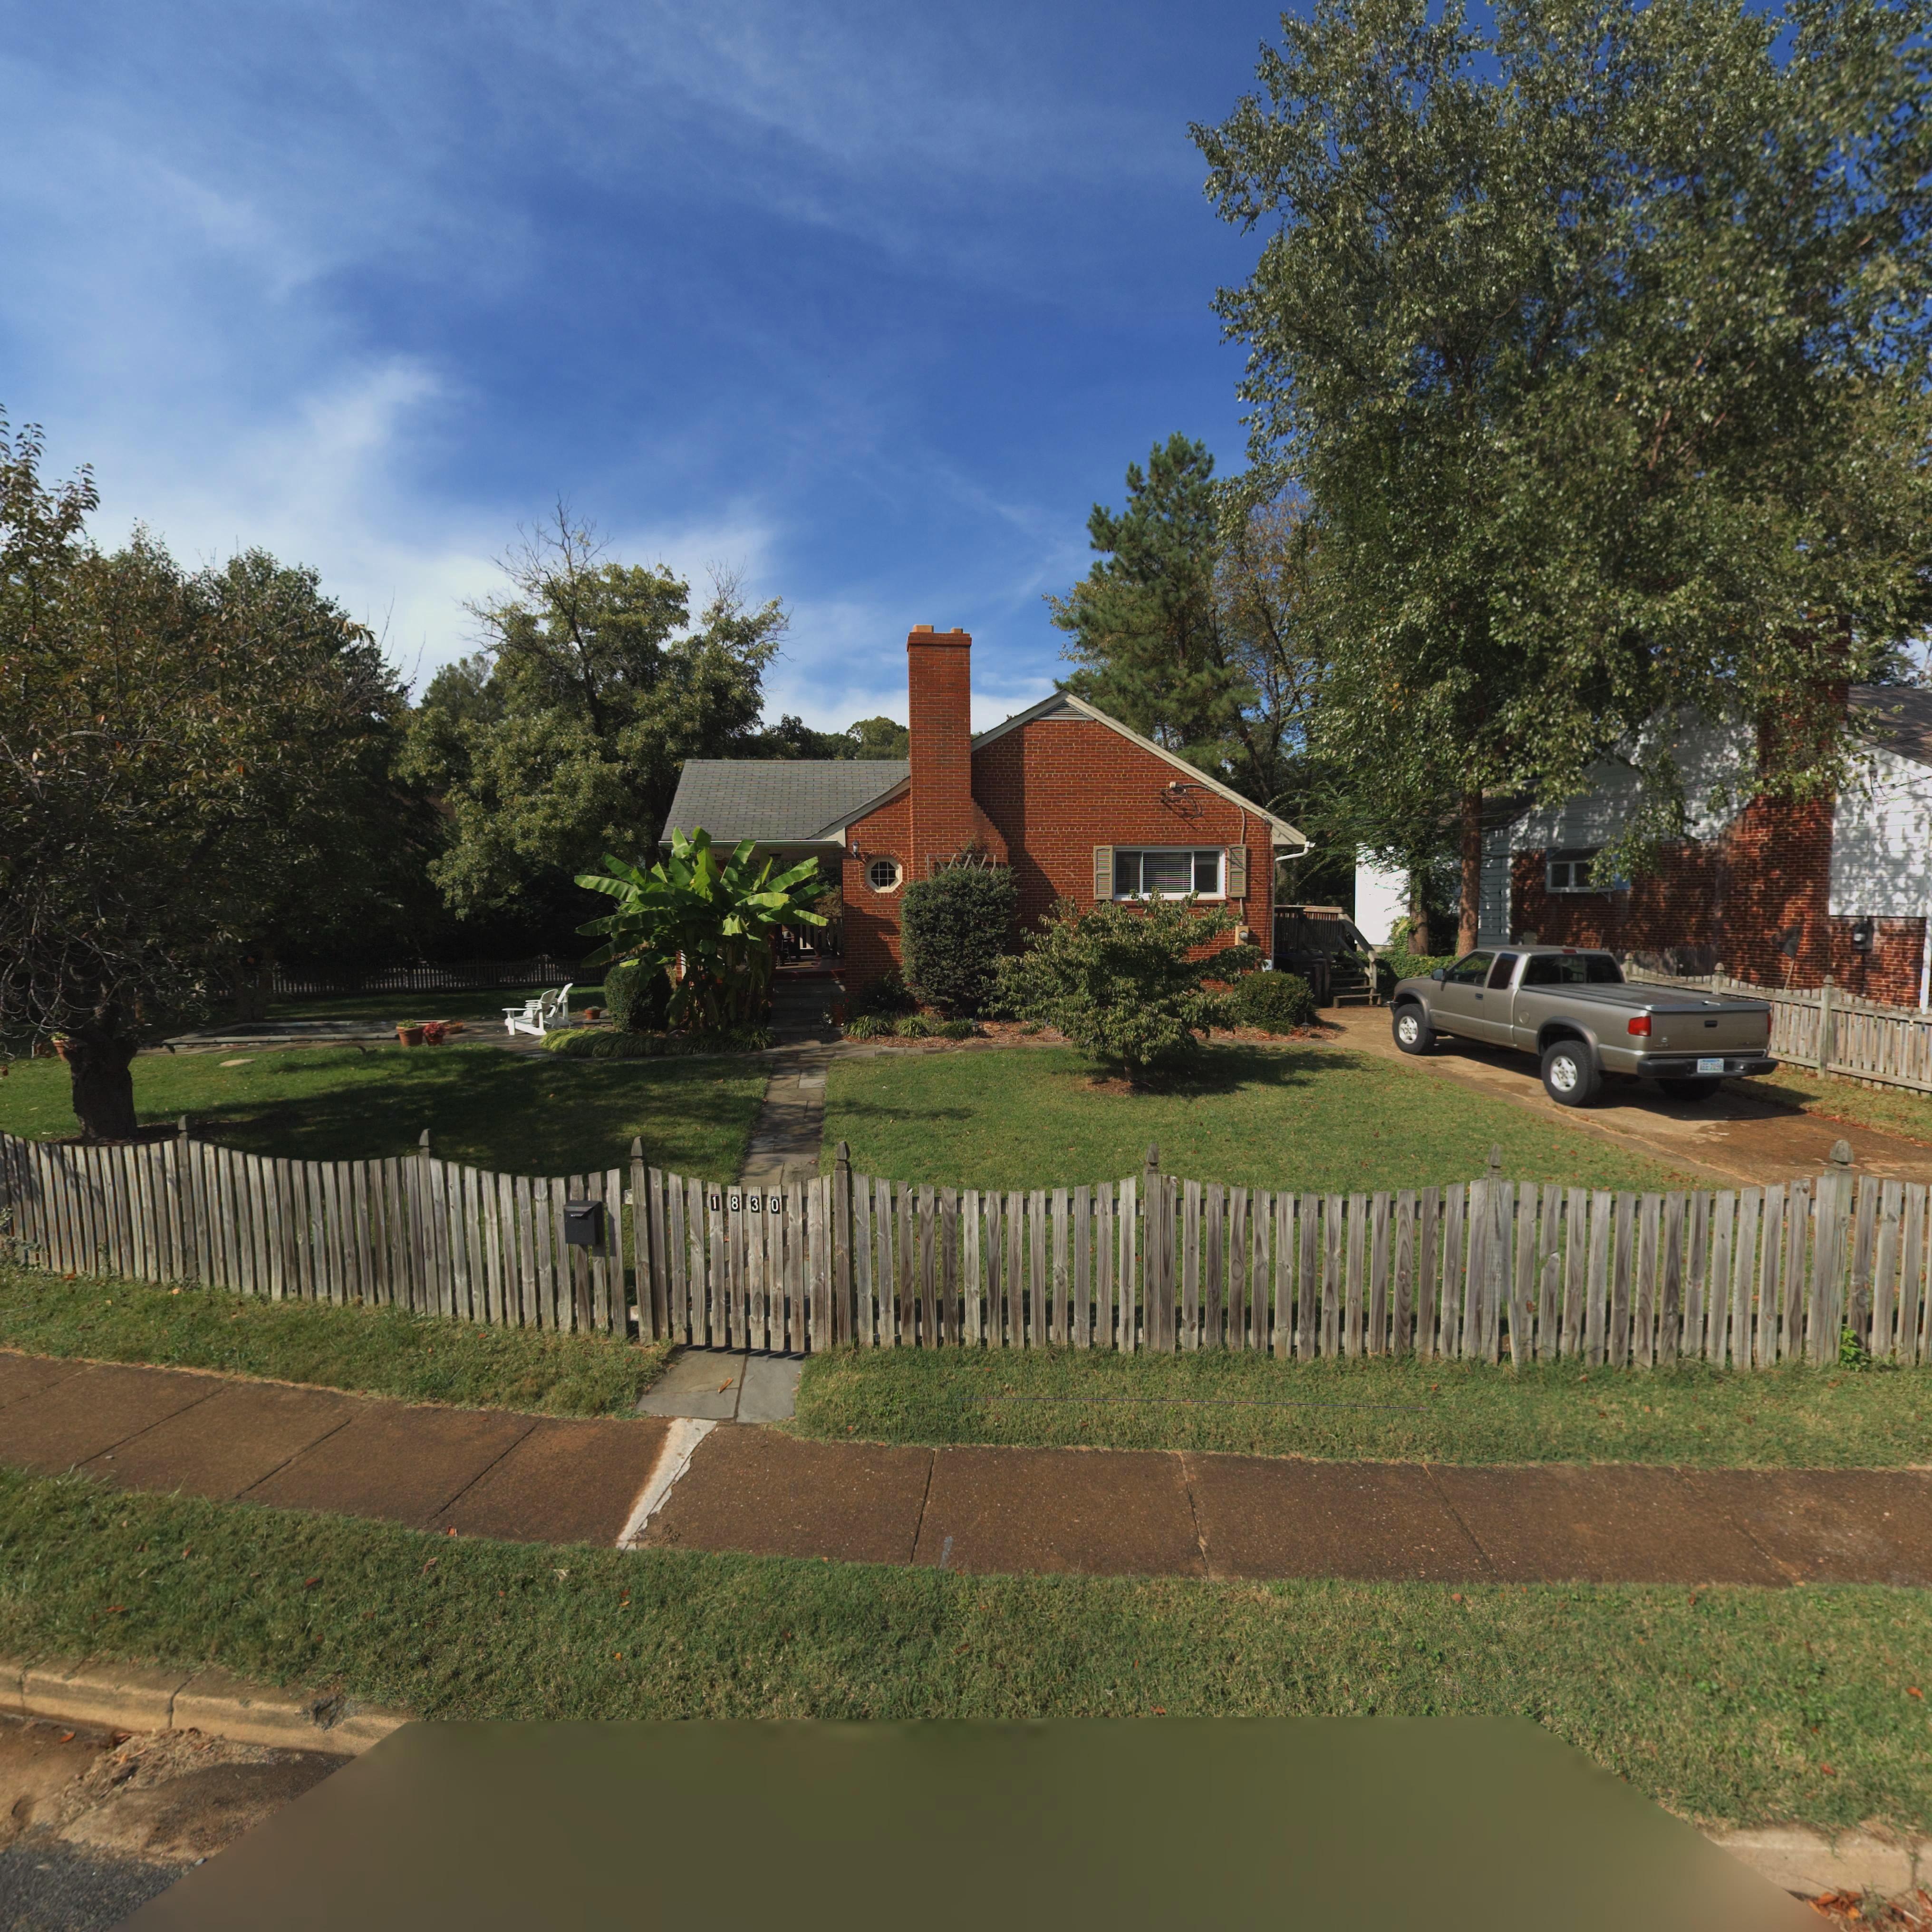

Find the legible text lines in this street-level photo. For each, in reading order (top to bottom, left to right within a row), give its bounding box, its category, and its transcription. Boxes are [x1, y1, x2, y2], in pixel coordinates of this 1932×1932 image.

[1699, 1063, 1722, 1071] None: ***-3096
[710, 1196, 779, 1213] StreetNumber: 1830